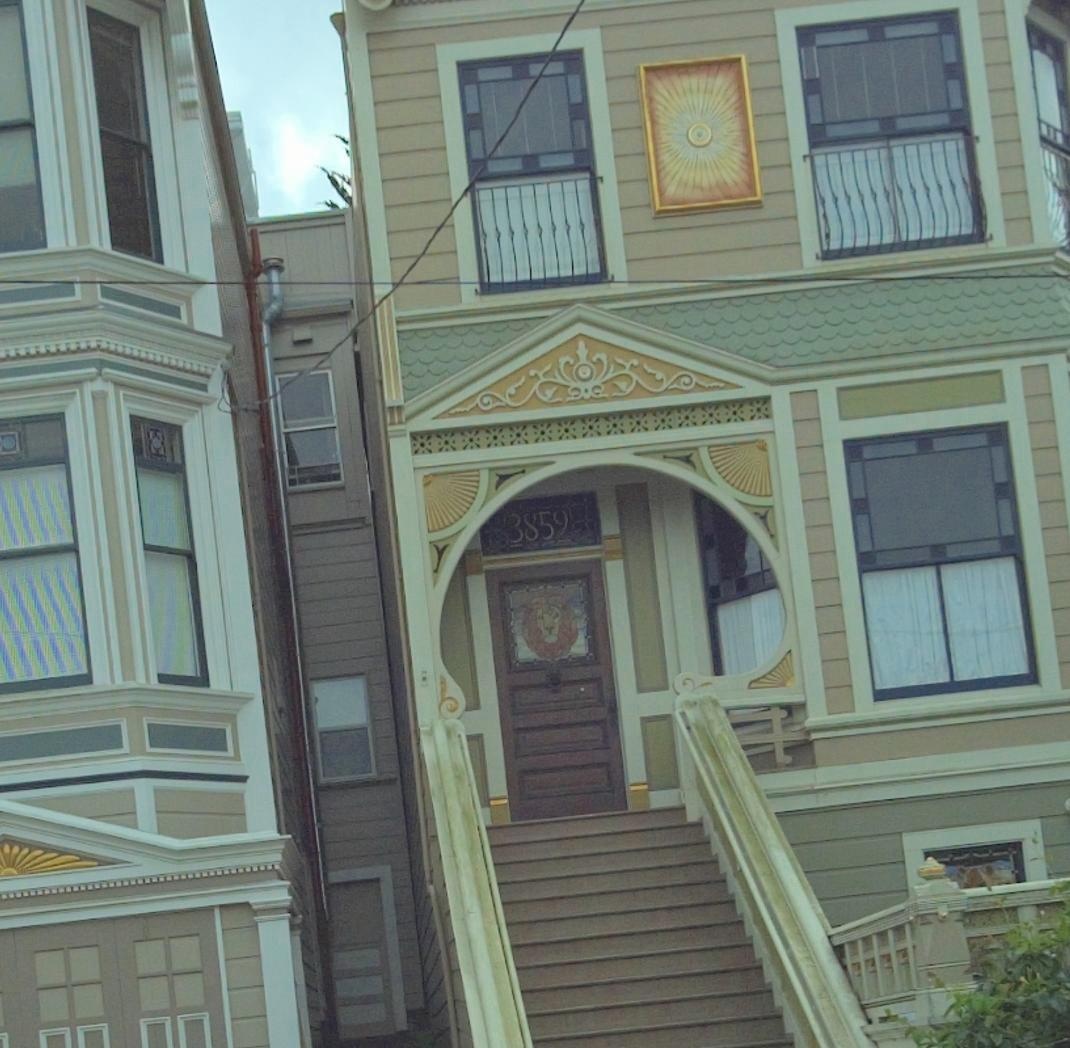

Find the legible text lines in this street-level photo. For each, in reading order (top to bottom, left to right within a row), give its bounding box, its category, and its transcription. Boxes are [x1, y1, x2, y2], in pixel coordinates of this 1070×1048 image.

[509, 507, 570, 545] StreetNumber: 3859